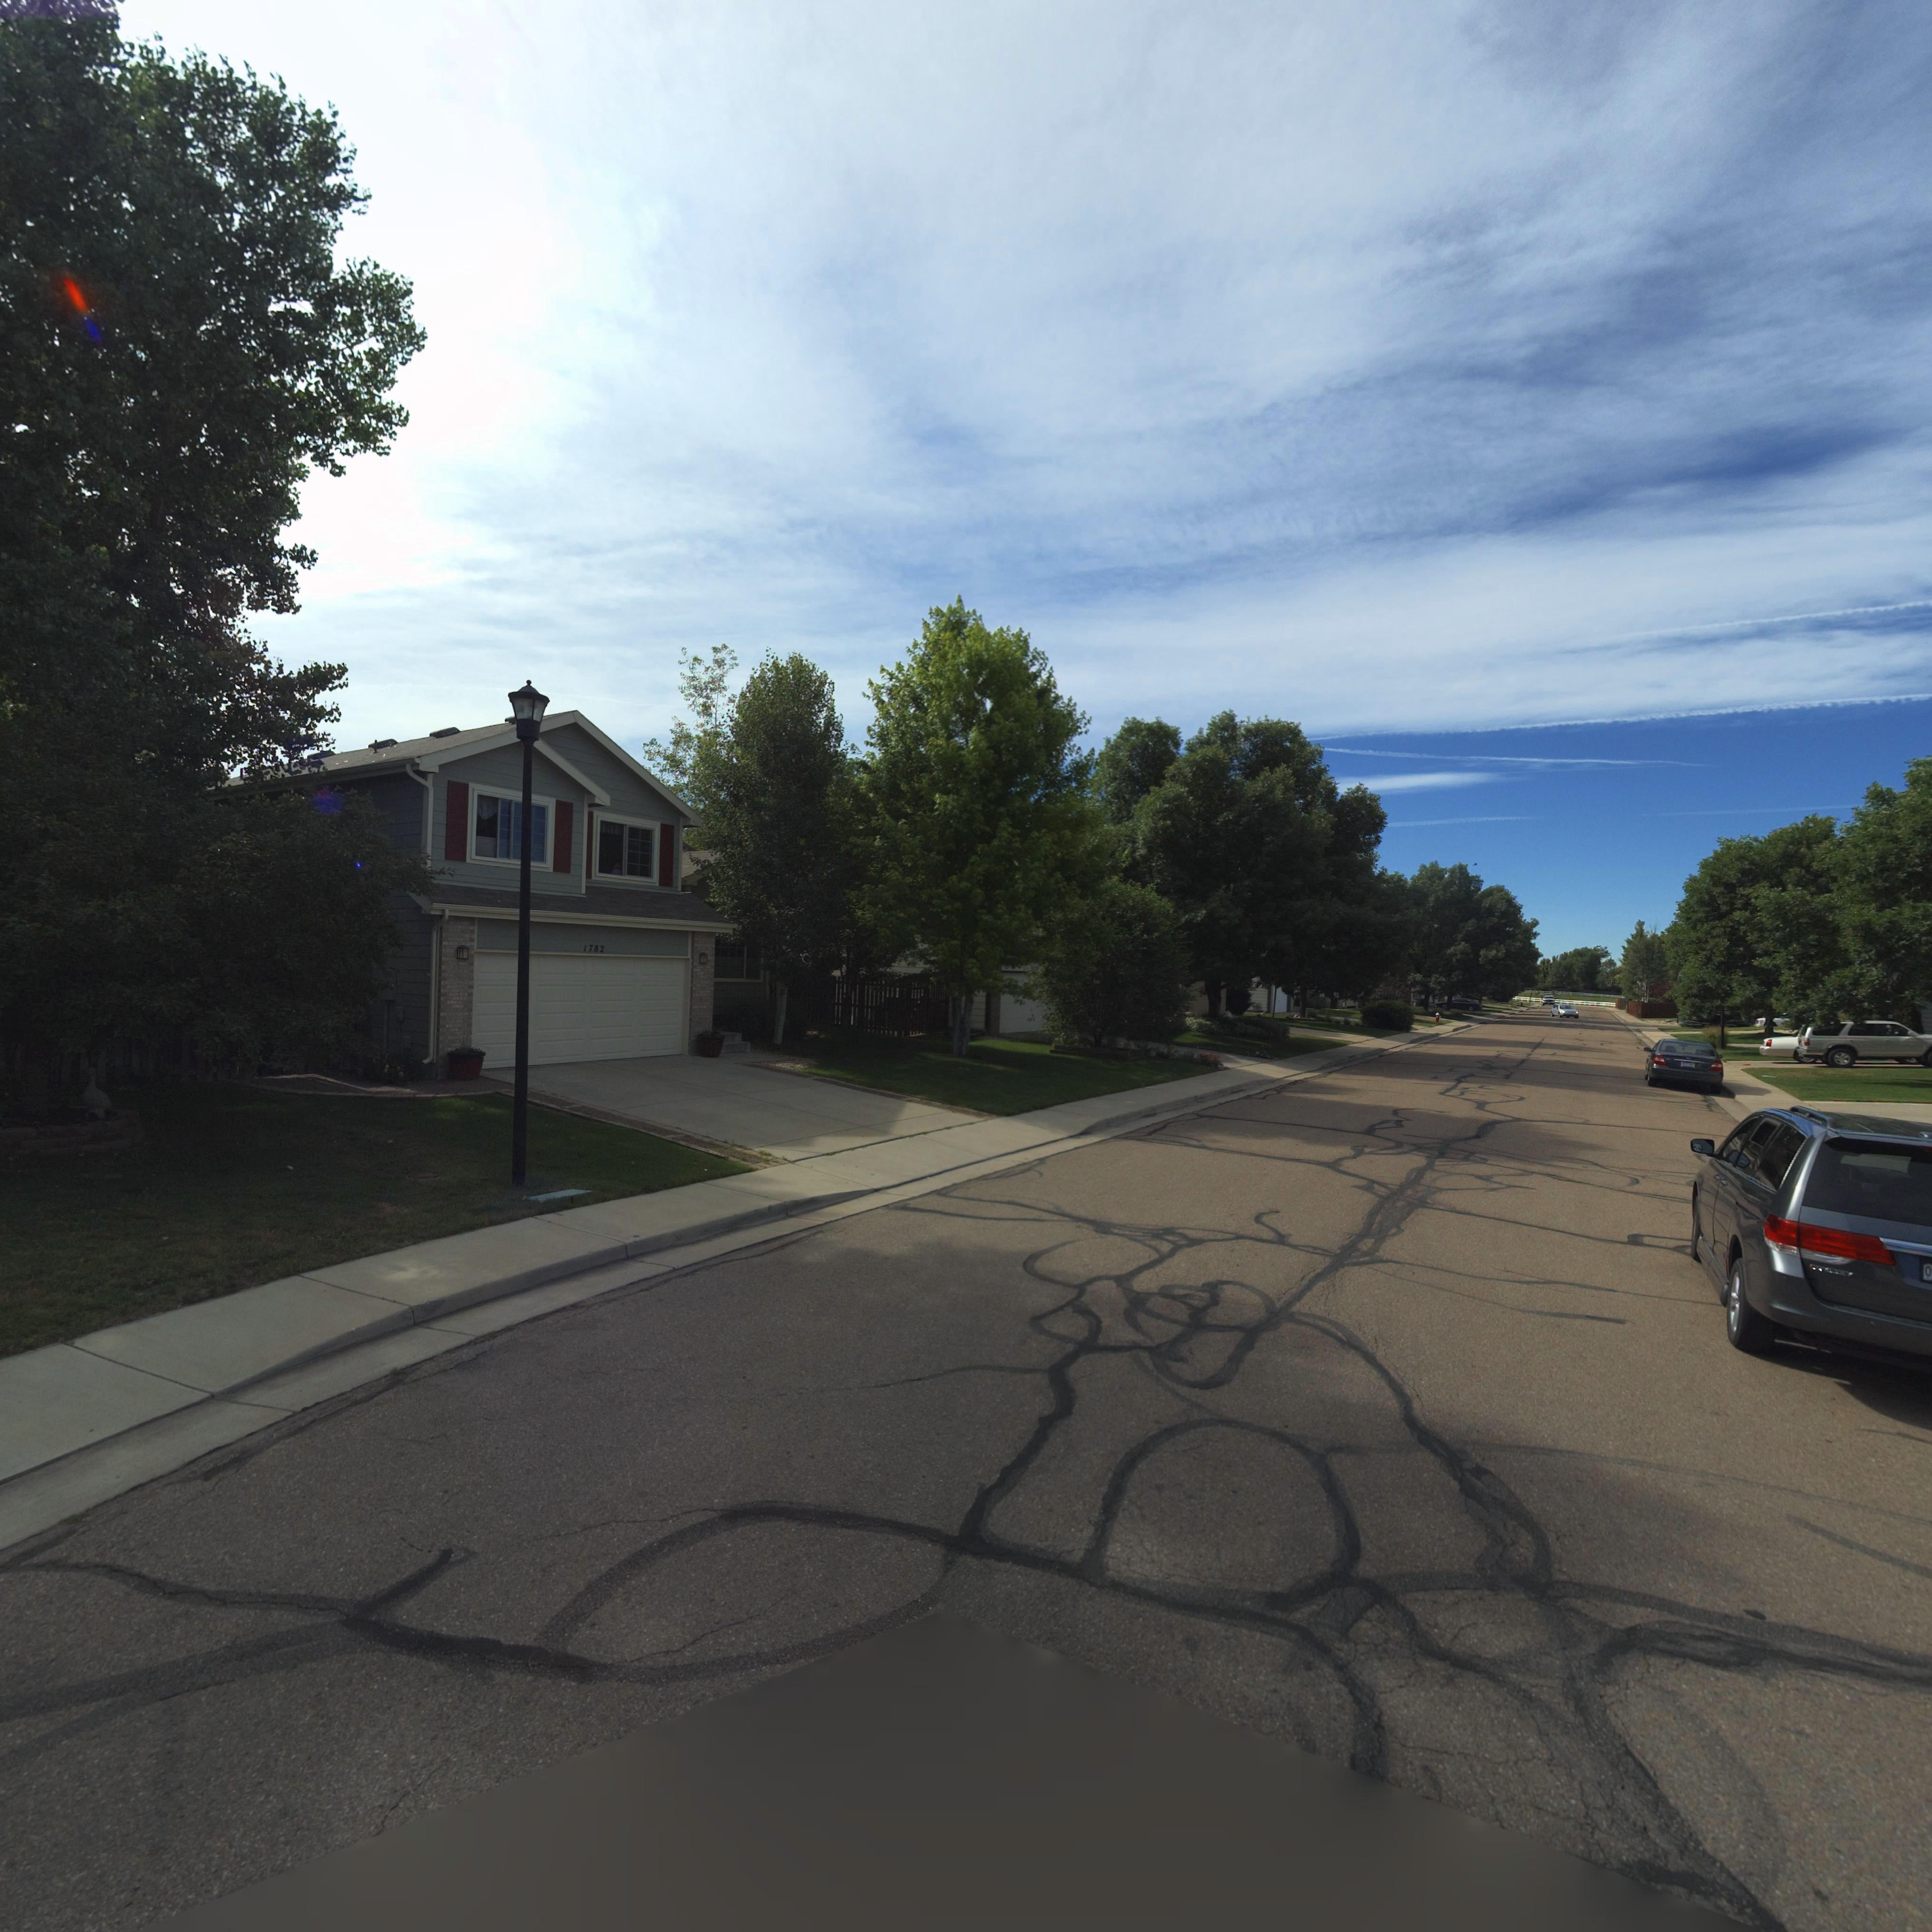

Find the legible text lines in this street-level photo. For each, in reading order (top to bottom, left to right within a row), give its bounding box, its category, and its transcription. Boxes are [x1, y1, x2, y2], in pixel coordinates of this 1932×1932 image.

[582, 944, 605, 953] StreetNumber: 1782